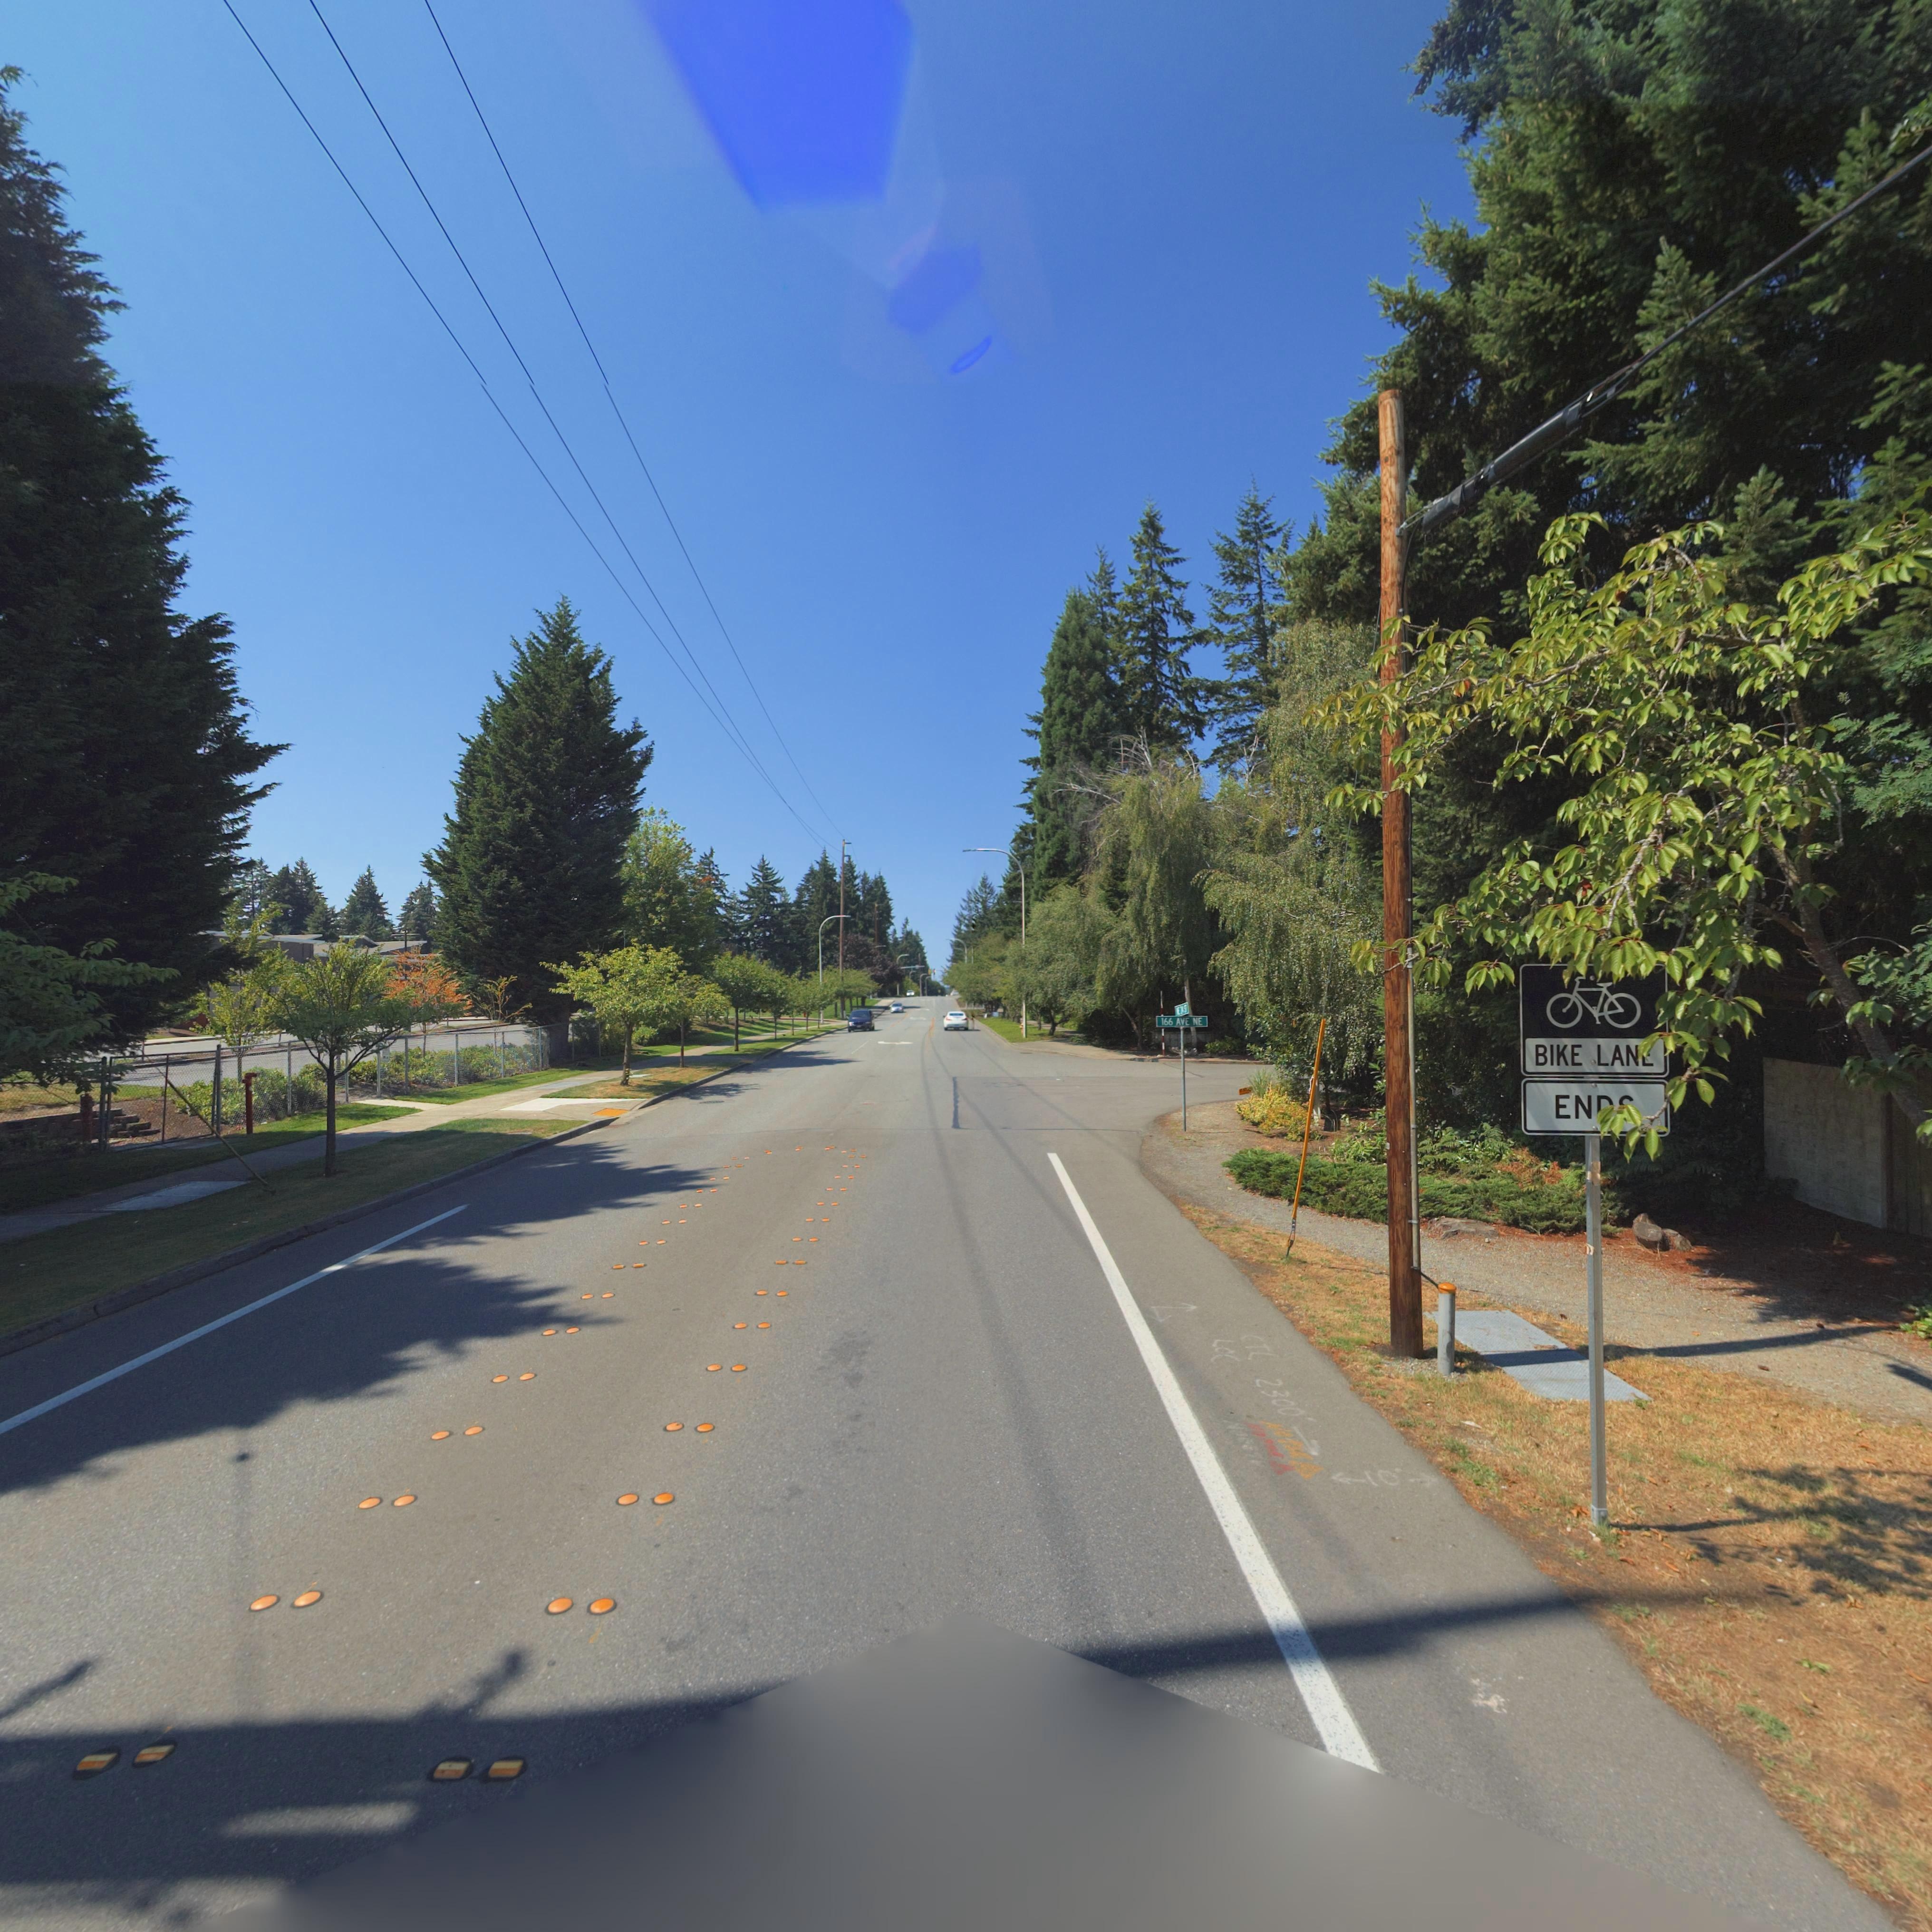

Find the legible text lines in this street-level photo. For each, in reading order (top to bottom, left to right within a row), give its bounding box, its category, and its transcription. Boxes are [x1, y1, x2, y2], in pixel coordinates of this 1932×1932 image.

[1176, 1004, 1187, 1015] StreetName: *E 24 ST
[1161, 1017, 1202, 1025] StreetName: 166 AVE NE